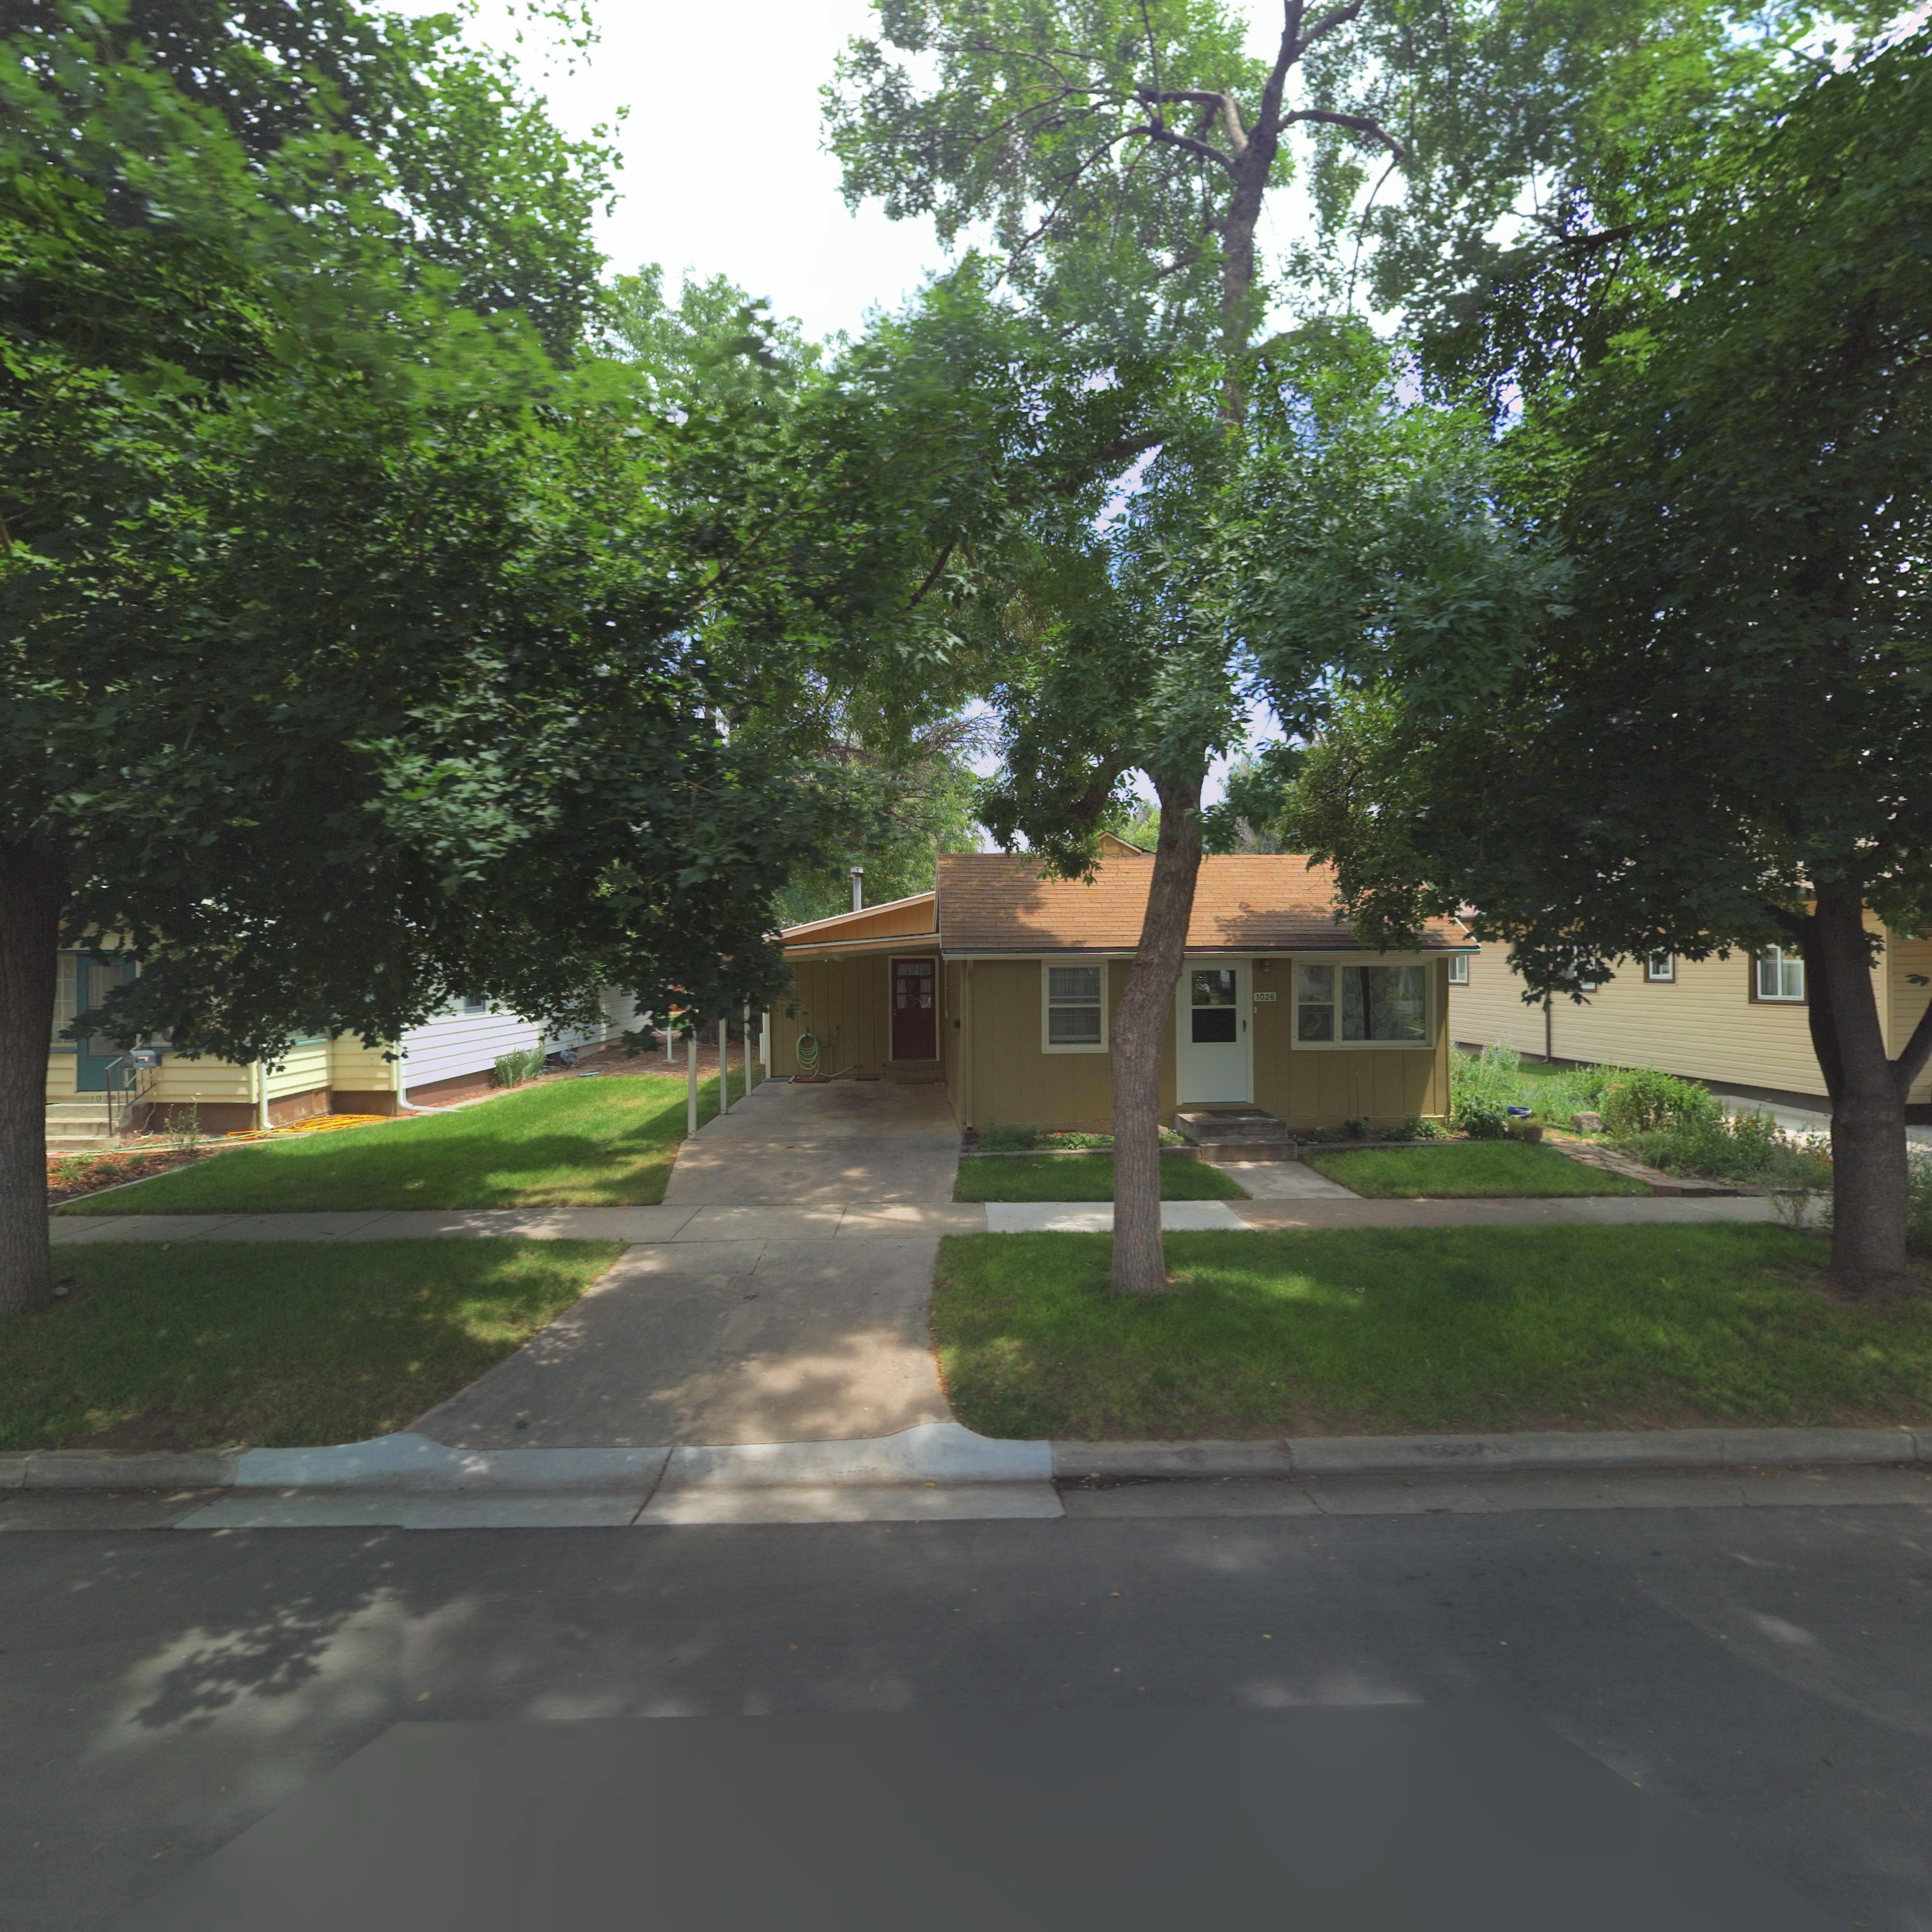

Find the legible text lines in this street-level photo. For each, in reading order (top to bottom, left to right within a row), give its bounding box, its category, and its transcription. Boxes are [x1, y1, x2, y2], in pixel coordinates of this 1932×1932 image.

[1256, 993, 1275, 1001] StreetNumber: 1026
[90, 1094, 116, 1102] StreetNumber: 10*8